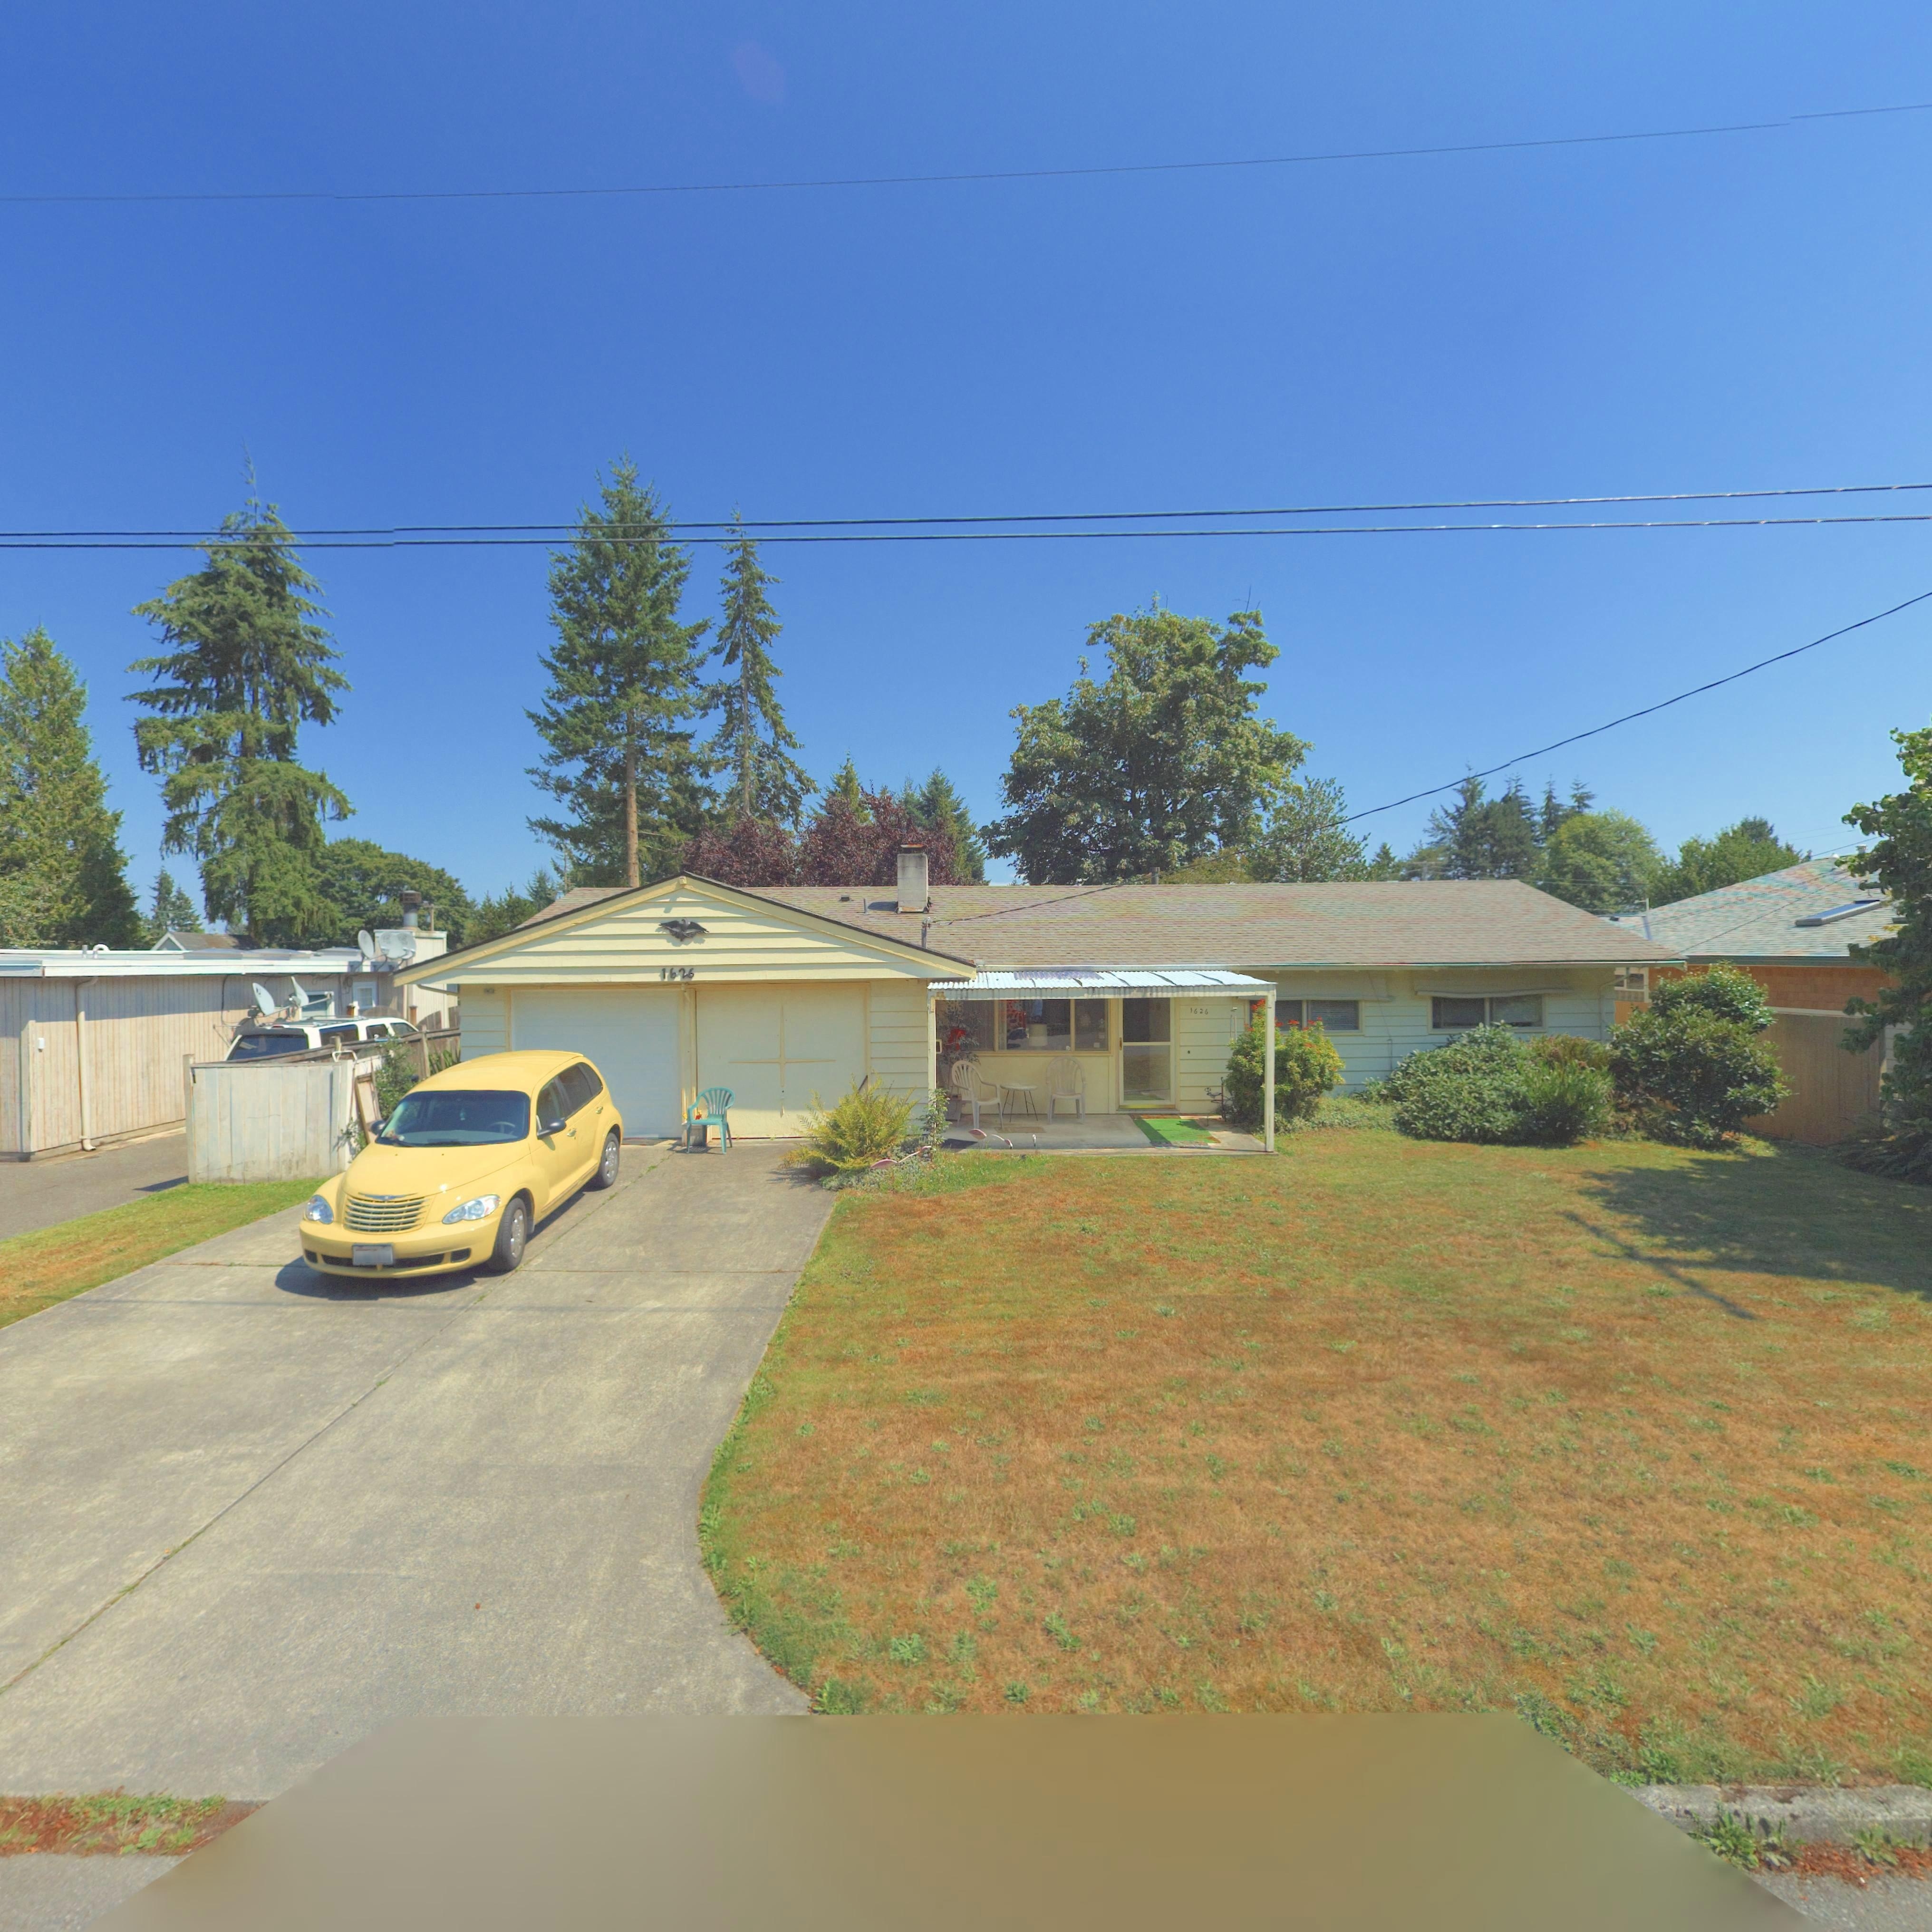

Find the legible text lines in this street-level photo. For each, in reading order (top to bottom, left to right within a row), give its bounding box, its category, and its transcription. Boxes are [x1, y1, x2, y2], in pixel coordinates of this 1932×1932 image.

[661, 966, 694, 980] StreetNumber: 1626
[1190, 1007, 1208, 1015] StreetNumber: 1626